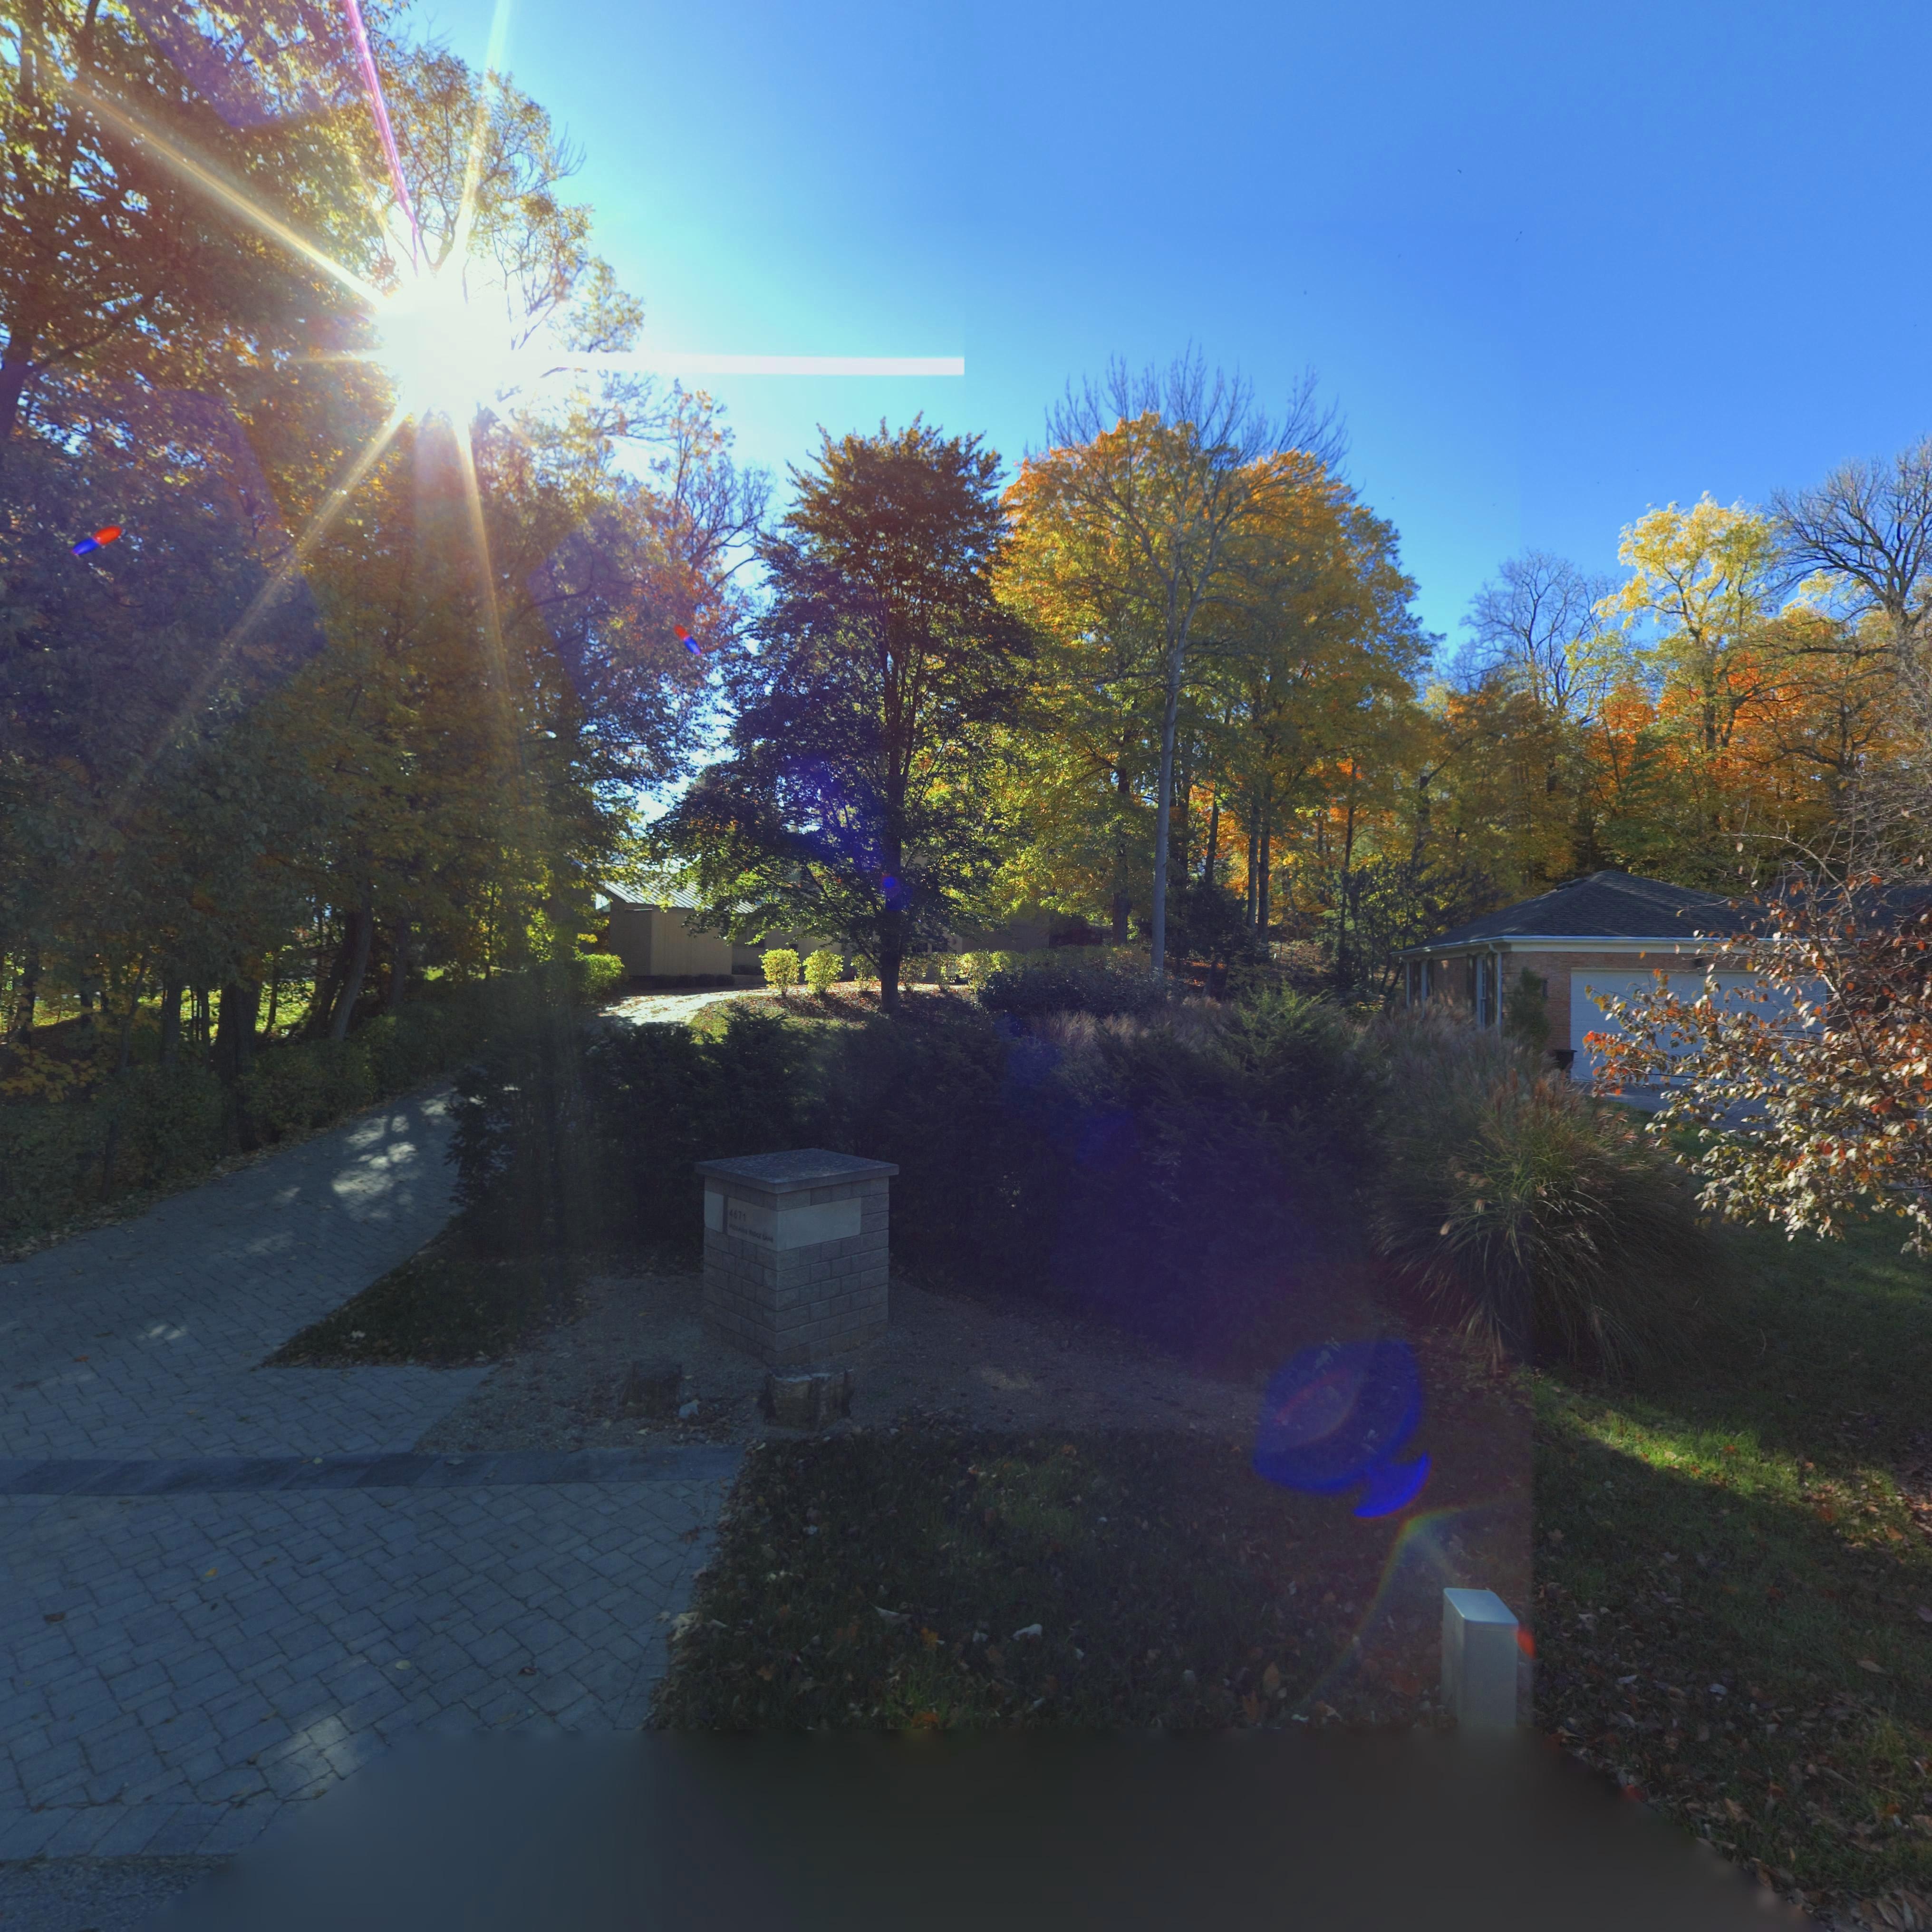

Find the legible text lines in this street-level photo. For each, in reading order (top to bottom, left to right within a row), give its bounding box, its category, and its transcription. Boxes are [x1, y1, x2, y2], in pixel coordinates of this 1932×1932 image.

[727, 1207, 747, 1224] StreetNumber: 4671
[728, 1222, 774, 1244] StreetName: MORAINE RIDGE LANE